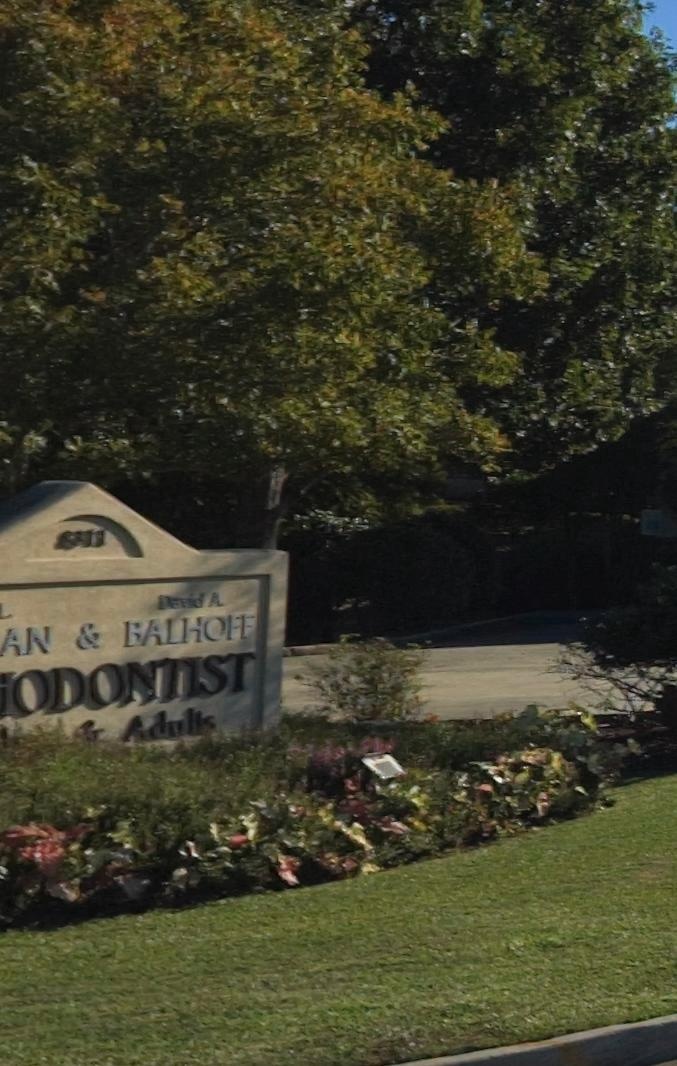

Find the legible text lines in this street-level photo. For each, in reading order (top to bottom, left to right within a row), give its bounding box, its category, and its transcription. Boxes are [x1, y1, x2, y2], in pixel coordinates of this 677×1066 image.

[56, 528, 106, 548] StreetNumber: **11
[0, 613, 258, 658] BusinessName: AN & BALHOFF
[10, 650, 257, 716] BusinessName: ODONTIST
[123, 706, 207, 744] None: Adult